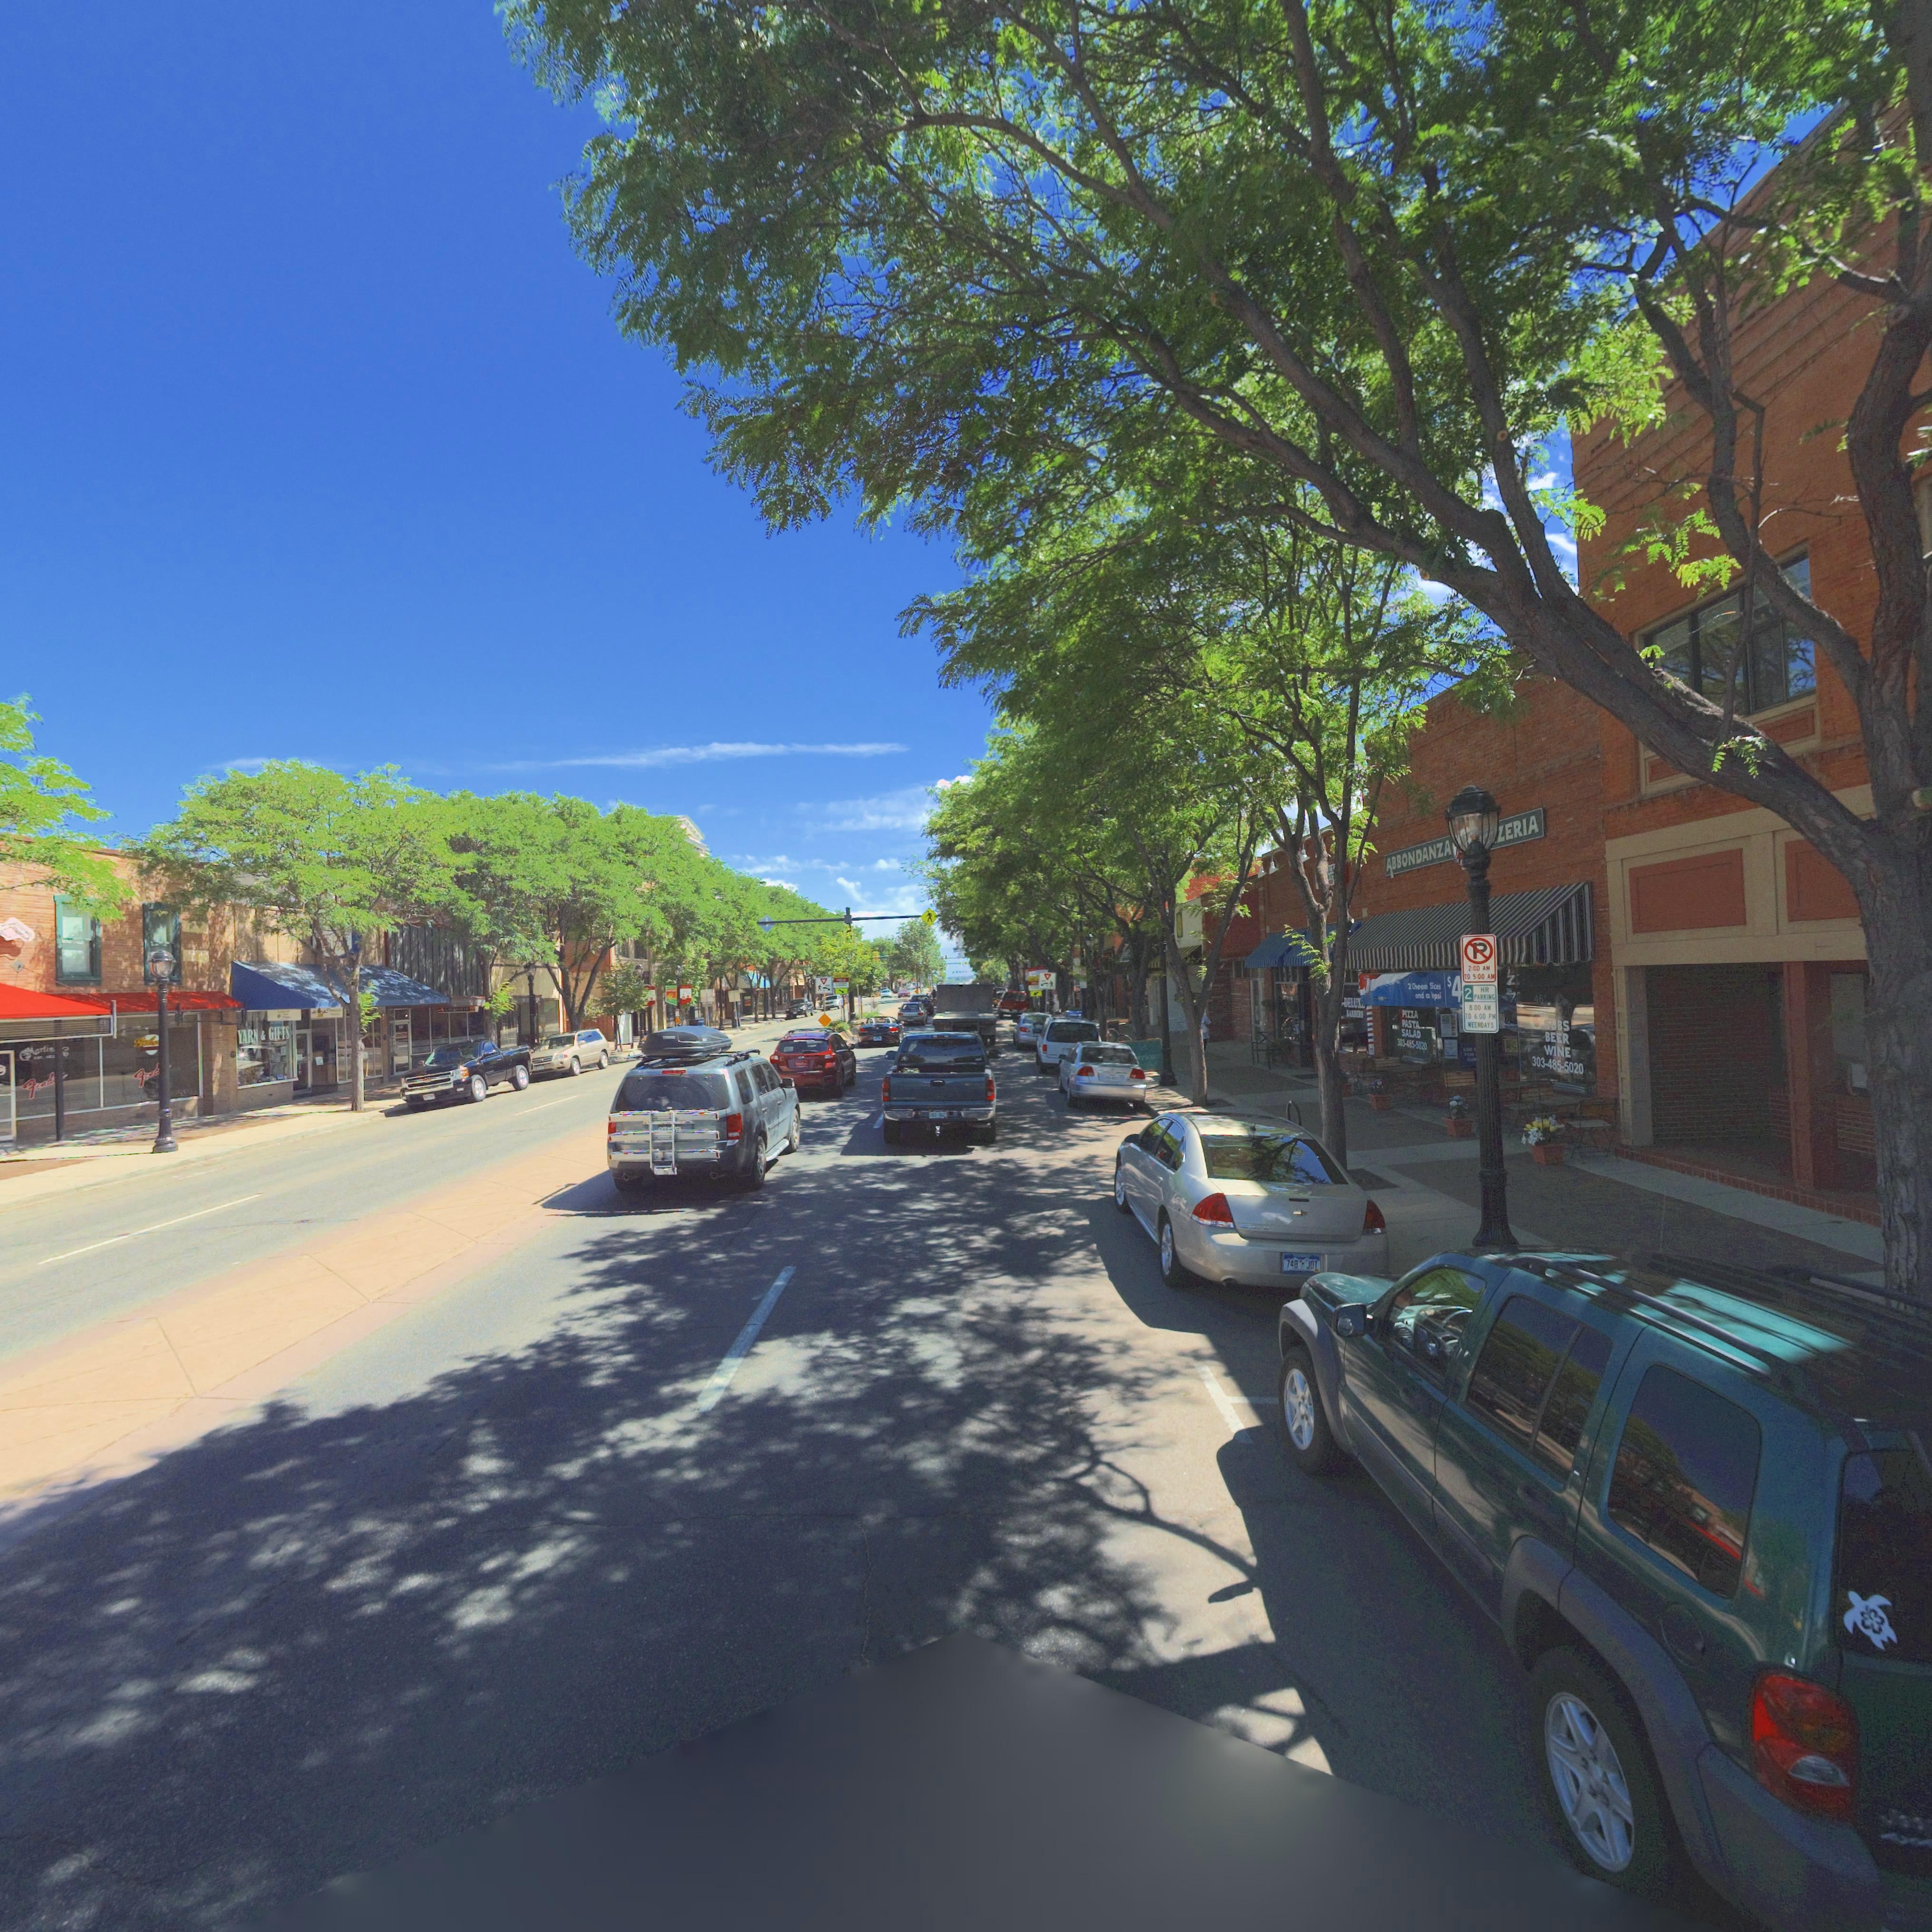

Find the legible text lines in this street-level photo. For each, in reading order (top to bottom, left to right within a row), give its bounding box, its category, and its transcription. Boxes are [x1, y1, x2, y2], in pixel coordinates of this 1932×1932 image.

[1497, 815, 1540, 843] BusinessName: *ERIA
[1386, 839, 1452, 872] BusinessName: ABBONDANZA
[1328, 865, 1335, 873] BusinessName: UX
[1344, 997, 1365, 1008] BusinessName: DELUX*
[1534, 994, 1546, 1005] StreetNumber: 461
[1346, 1010, 1363, 1018] BusinessName: BARBERS